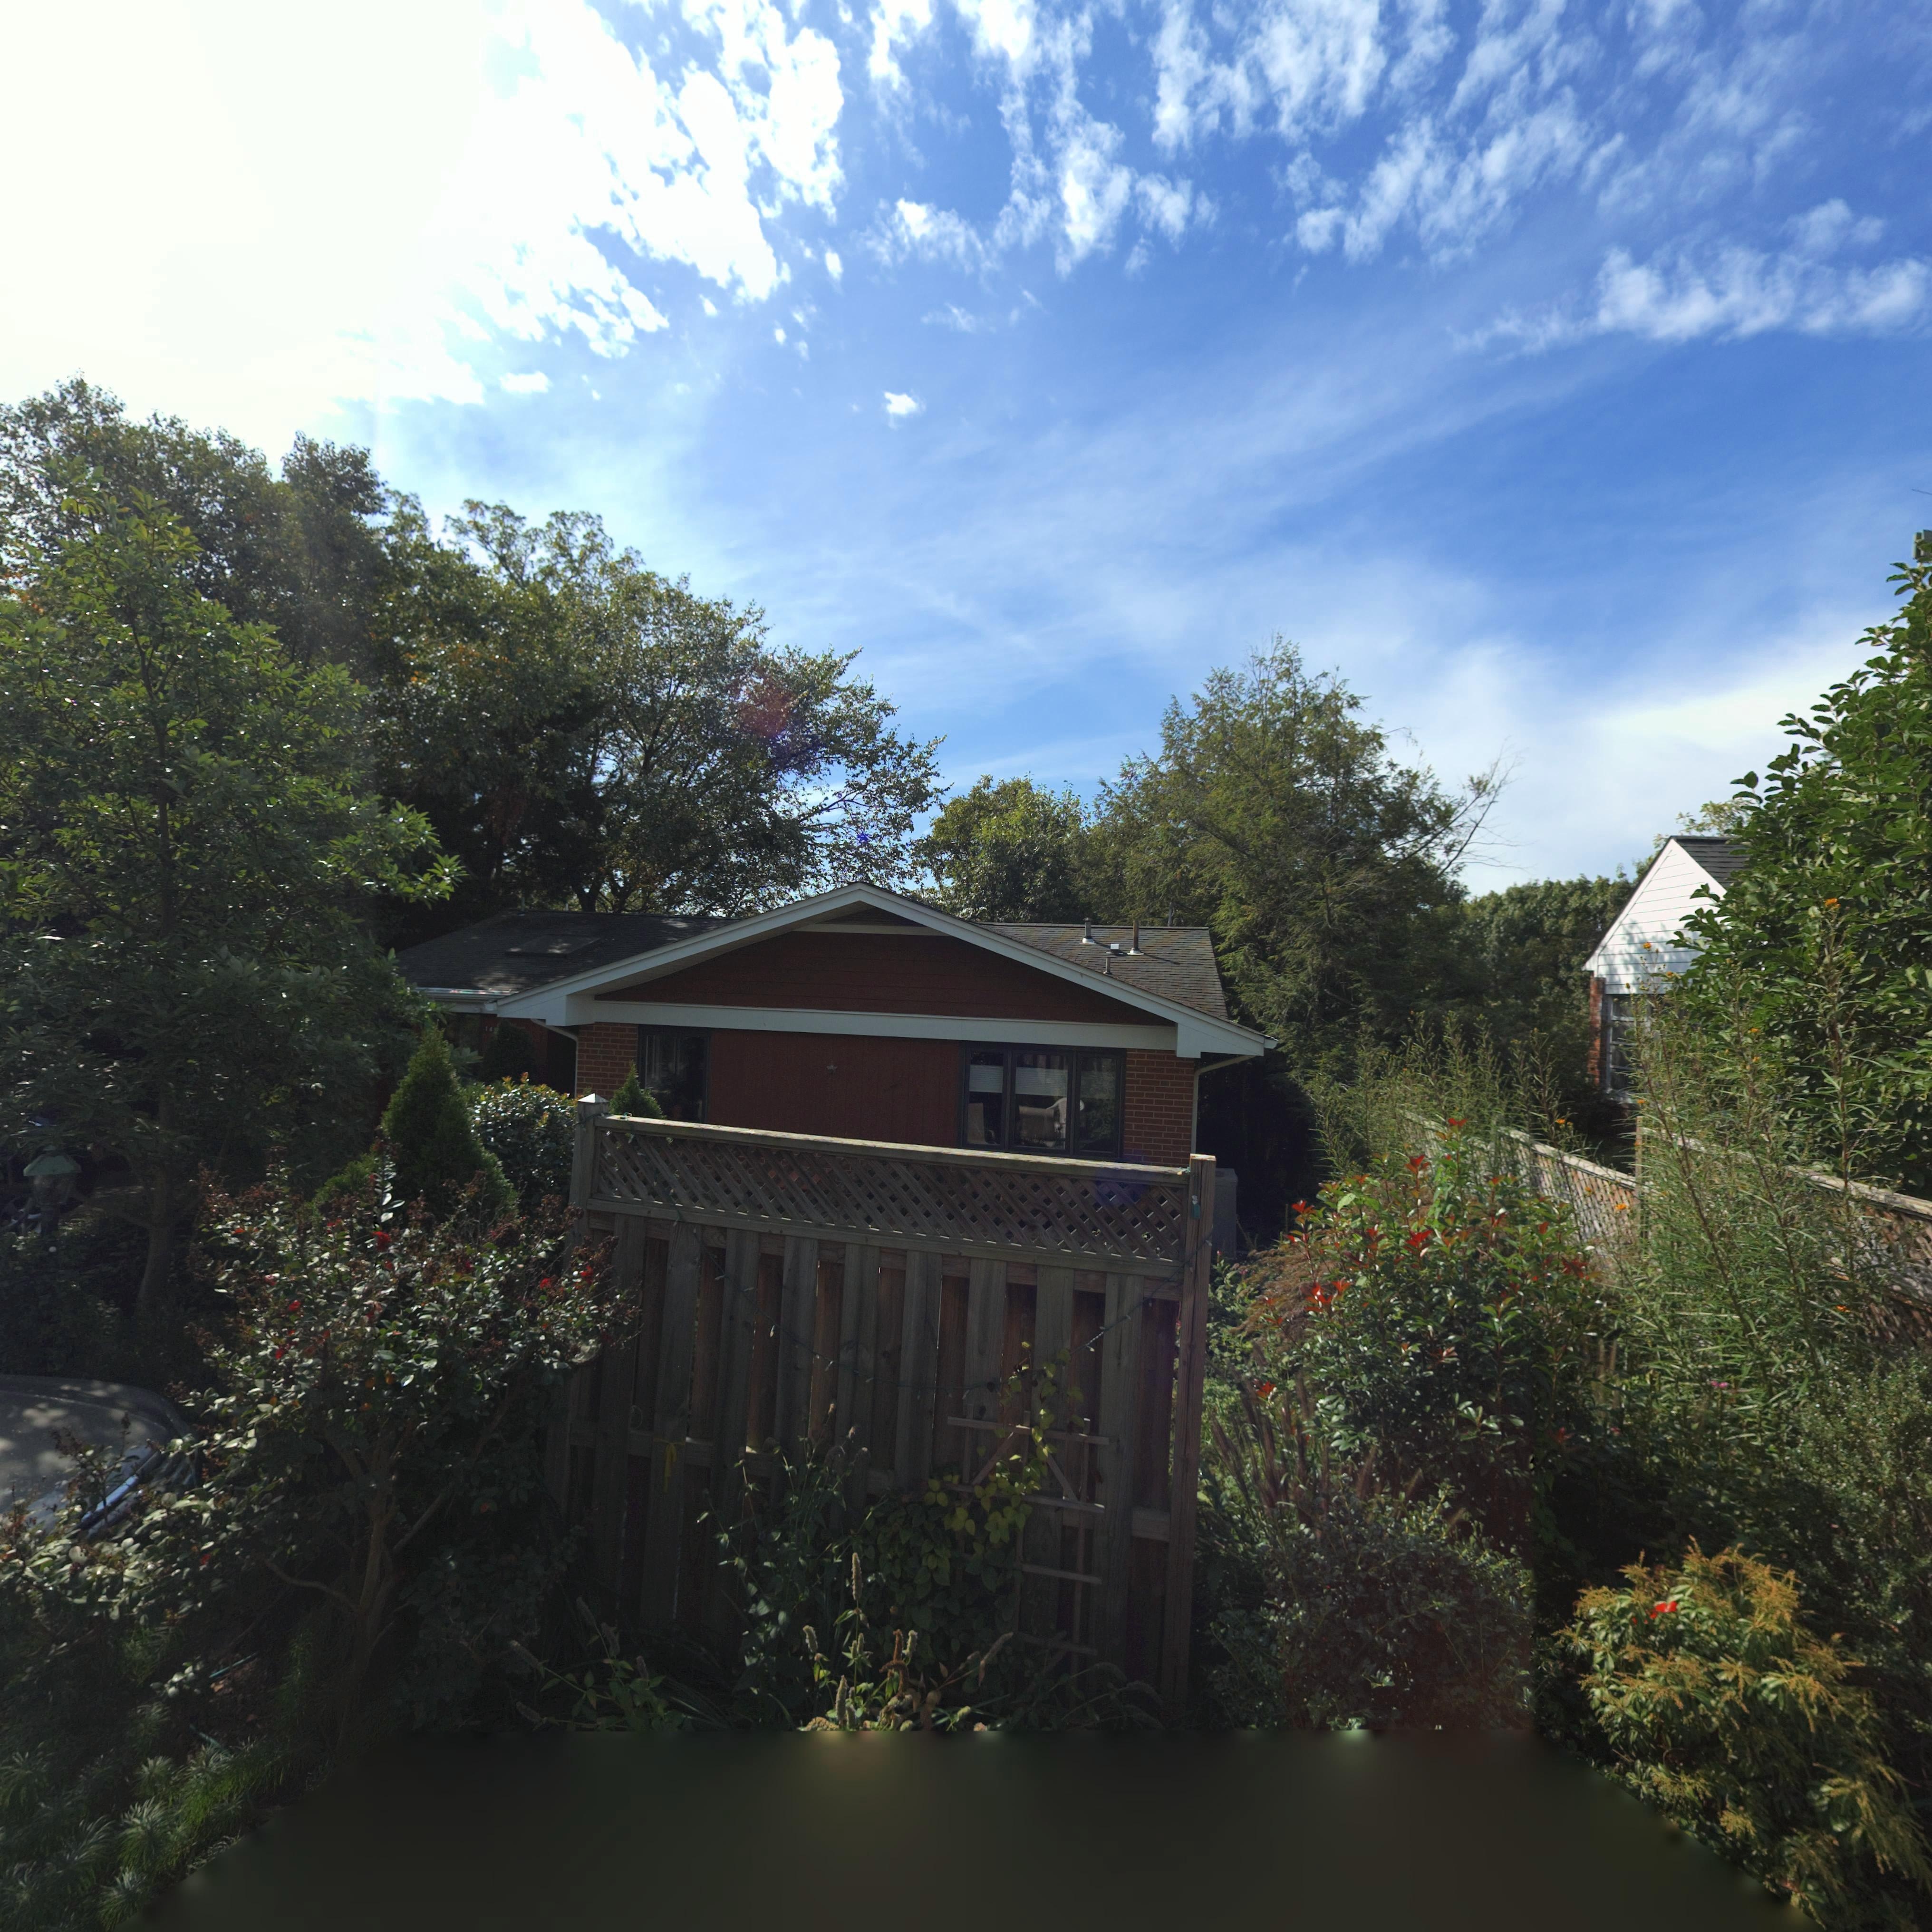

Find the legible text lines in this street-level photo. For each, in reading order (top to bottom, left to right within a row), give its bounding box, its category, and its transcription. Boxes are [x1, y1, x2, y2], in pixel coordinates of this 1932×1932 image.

[484, 1025, 494, 1034] StreetNumber: 14